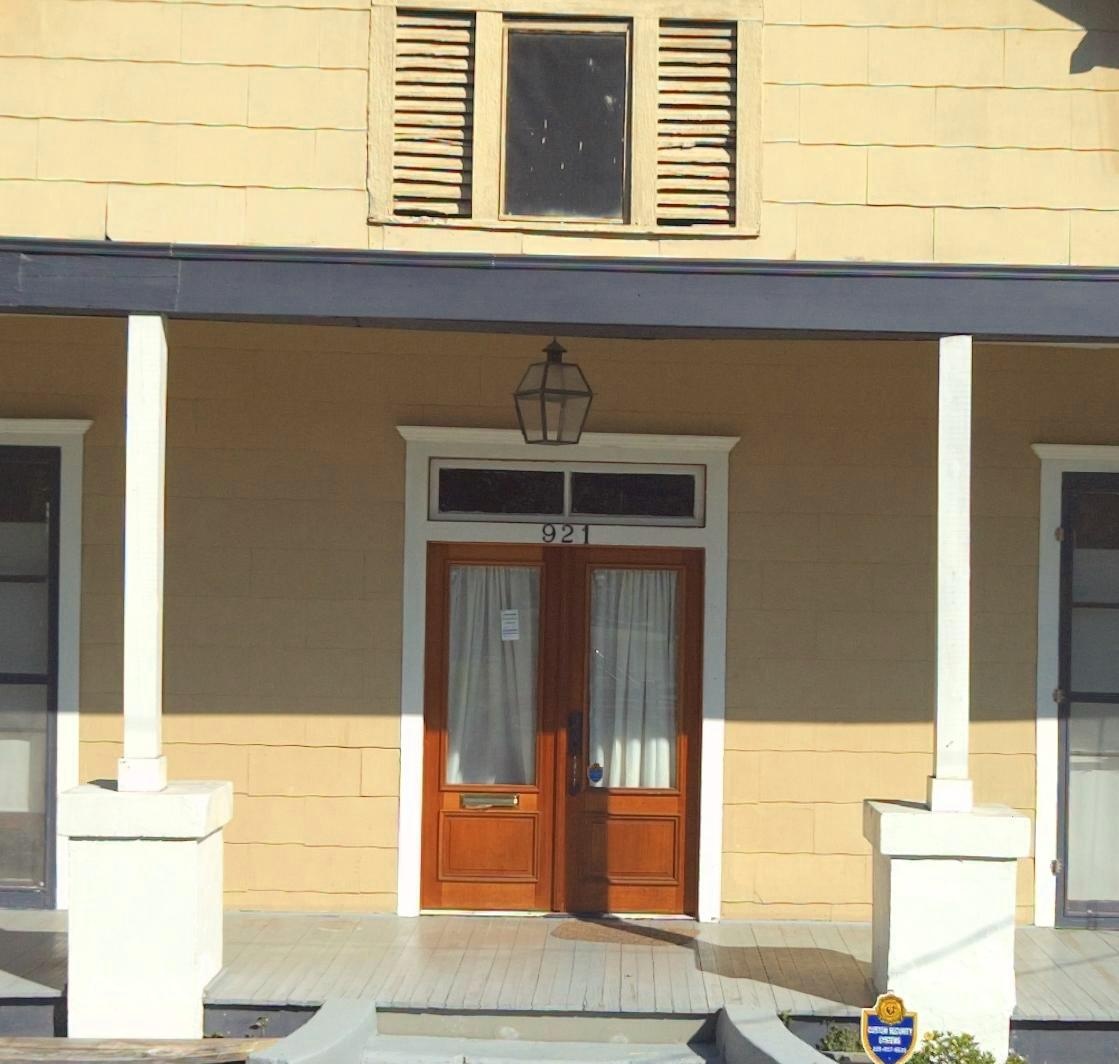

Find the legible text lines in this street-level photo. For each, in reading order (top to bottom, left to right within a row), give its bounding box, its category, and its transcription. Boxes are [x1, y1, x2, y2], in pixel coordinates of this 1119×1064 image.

[539, 521, 591, 546] StreetNumber: 921